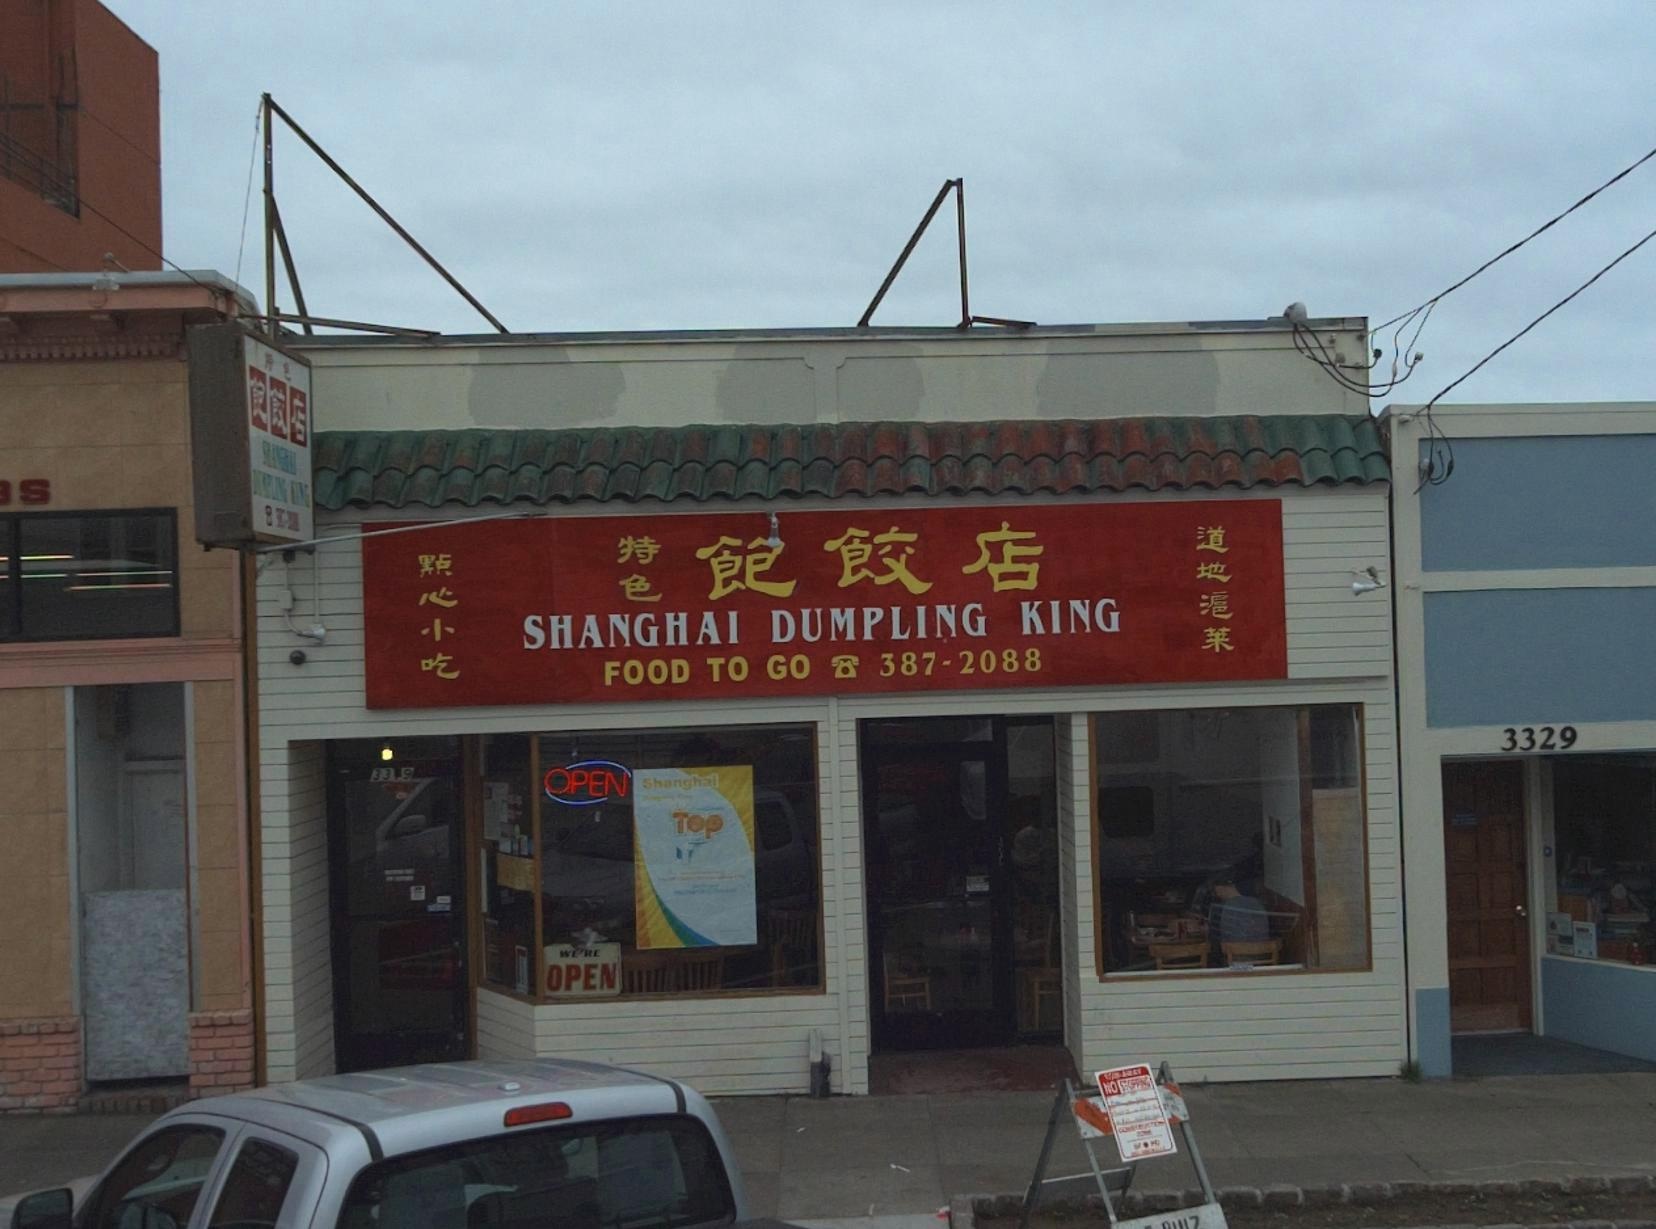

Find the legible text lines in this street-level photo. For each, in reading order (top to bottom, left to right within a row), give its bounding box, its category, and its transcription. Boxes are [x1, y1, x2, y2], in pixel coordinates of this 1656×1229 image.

[260, 437, 300, 479] BusinessName: SHANGHAI
[16, 476, 56, 508] None: s
[250, 466, 312, 512] BusinessName: DUMPLINGKING
[518, 595, 1125, 654] BusinessName: SHANGHAI DUMPLING KING
[602, 651, 816, 688] None: FOOD TO GO
[876, 644, 1044, 681] None: 387-2088
[1498, 724, 1580, 753] StreetNumber: 3329
[366, 765, 417, 784] StreetNumber: 33*9
[541, 766, 631, 799] None: OPEN
[641, 771, 721, 794] None: Shanghai
[669, 810, 727, 842] None: Top
[558, 948, 603, 959] None: WE'RE
[544, 961, 618, 994] None: OPEN
[1099, 1072, 1155, 1096] None: NO STOPPING